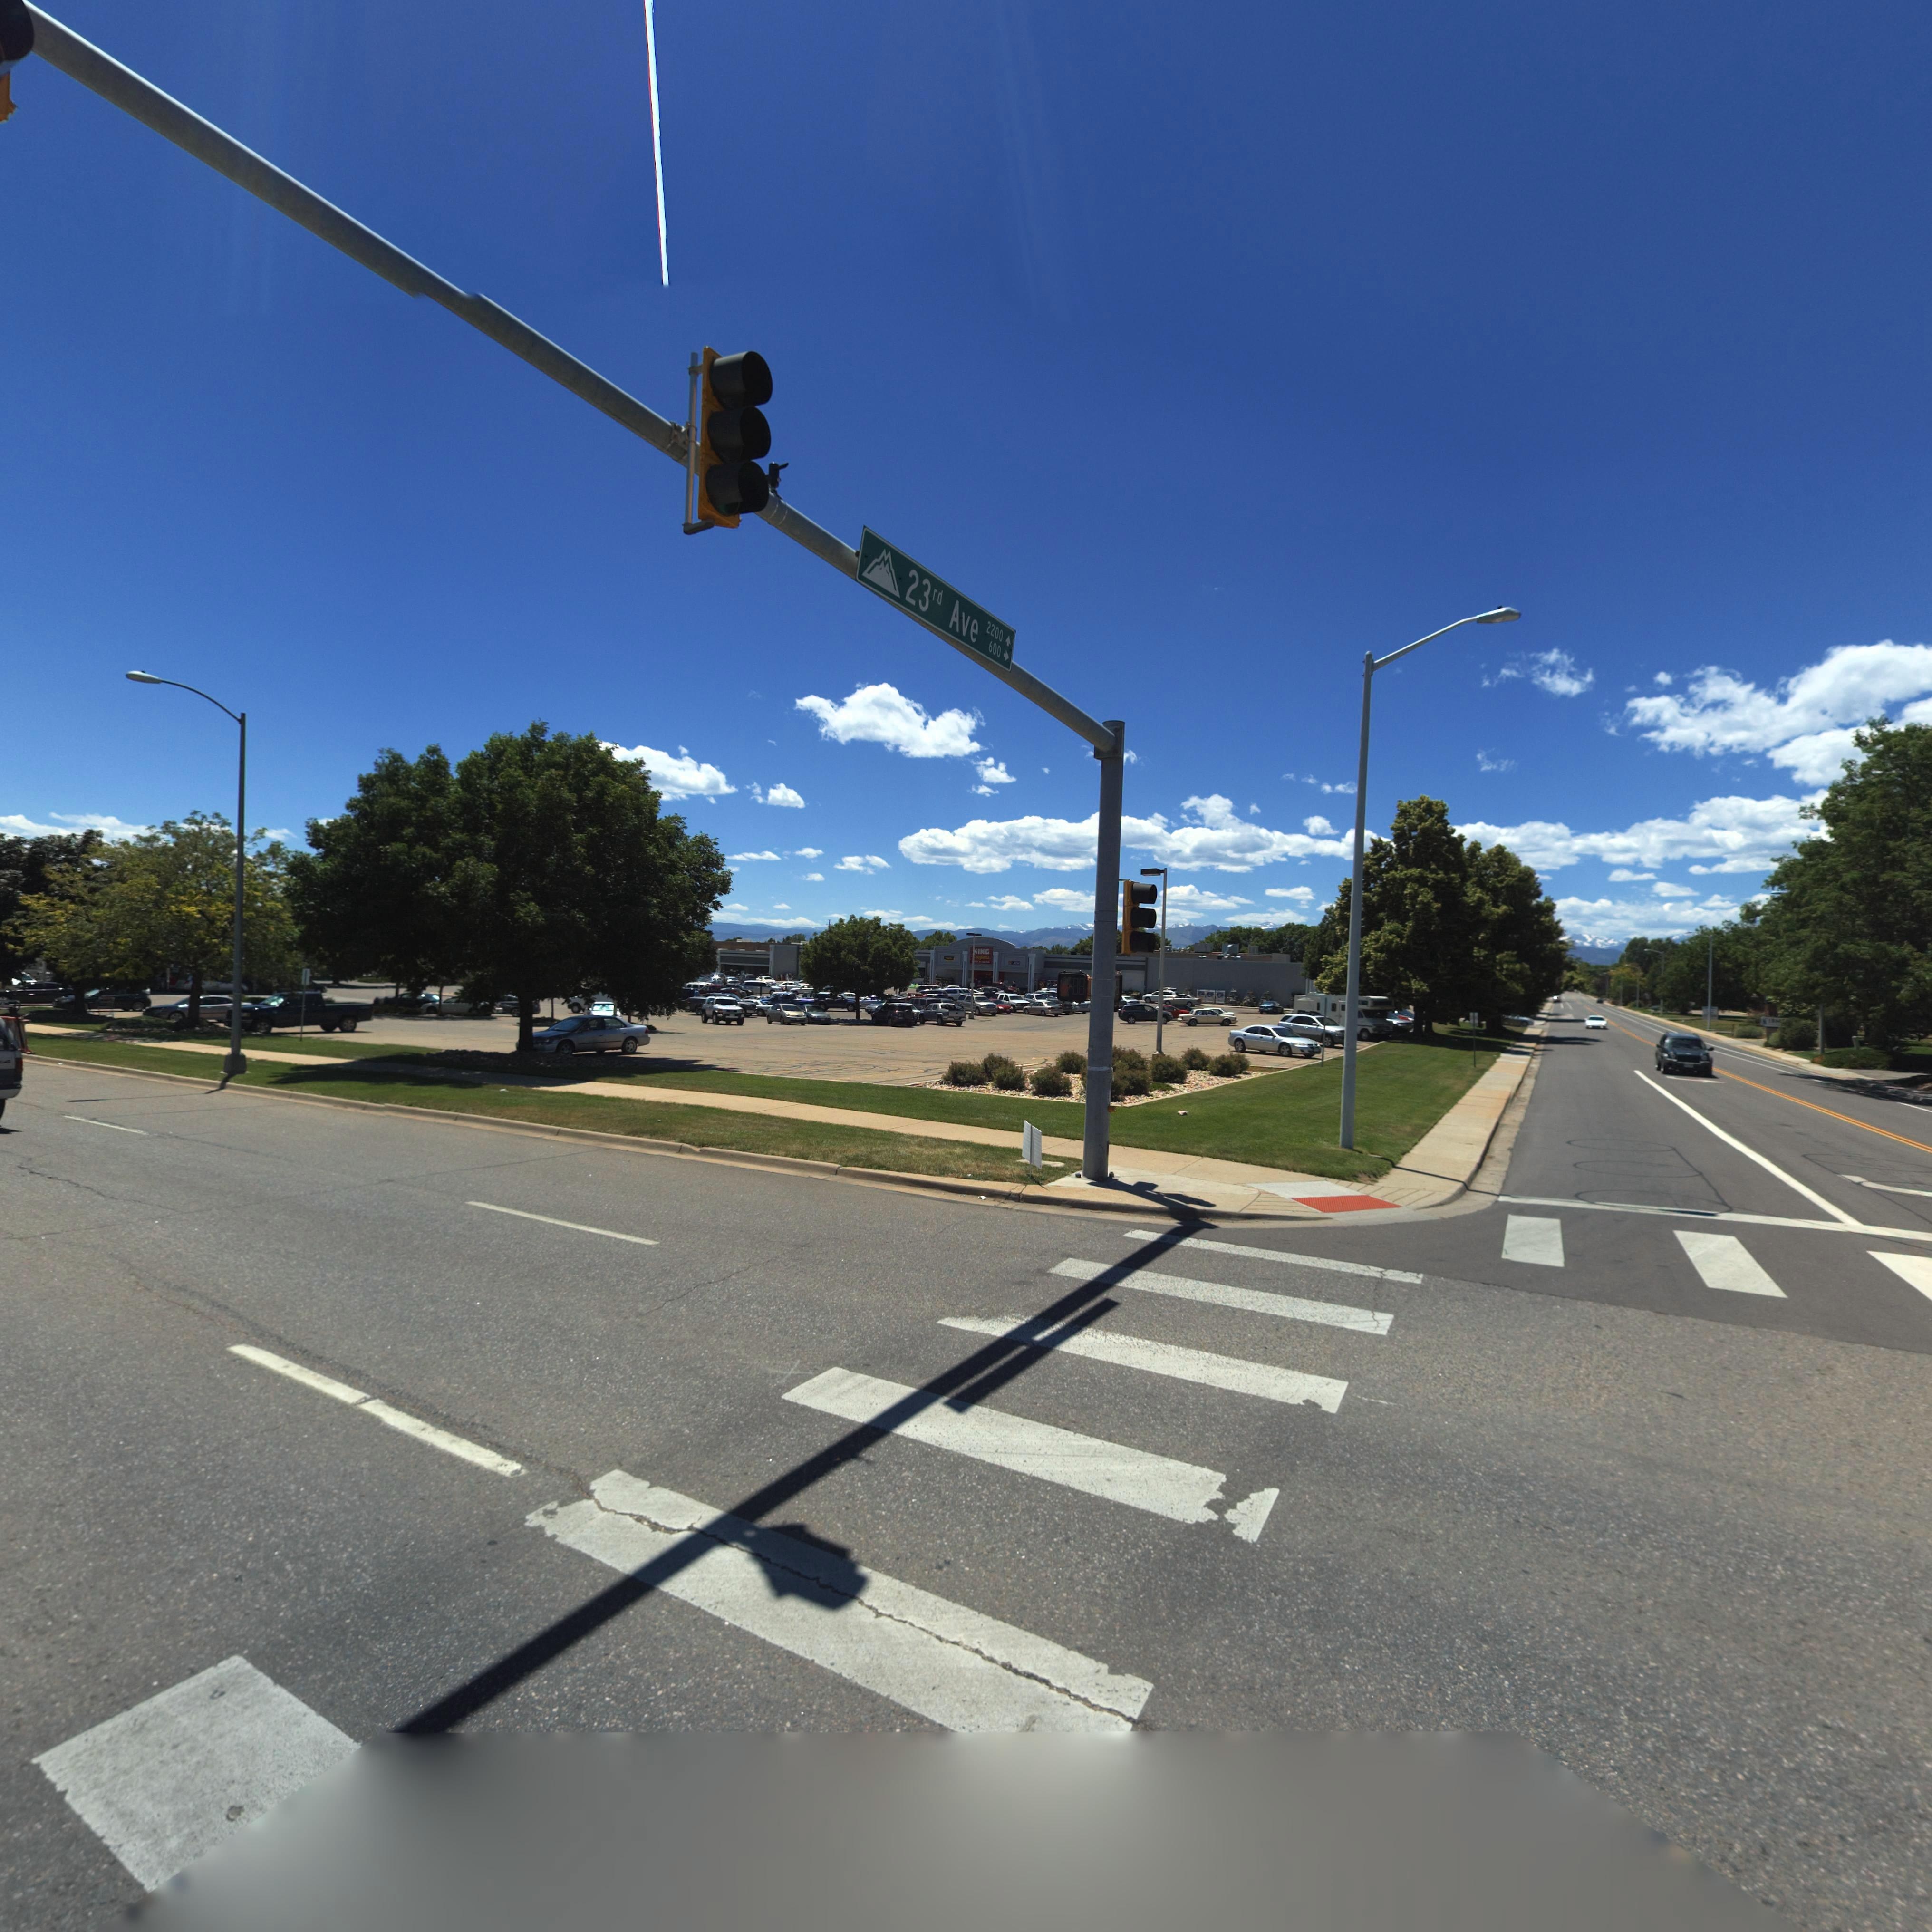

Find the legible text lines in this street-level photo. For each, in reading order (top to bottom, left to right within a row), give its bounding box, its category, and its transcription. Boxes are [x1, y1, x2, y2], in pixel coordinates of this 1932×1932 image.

[904, 568, 978, 643] StreetName: 23rd Ave
[985, 620, 1003, 643] StreetNumberRange: 2200
[988, 640, 1009, 662] StreetNumberRange: 600->
[972, 948, 989, 954] BusinessName: KING
[975, 956, 990, 960] BusinessName: oopers